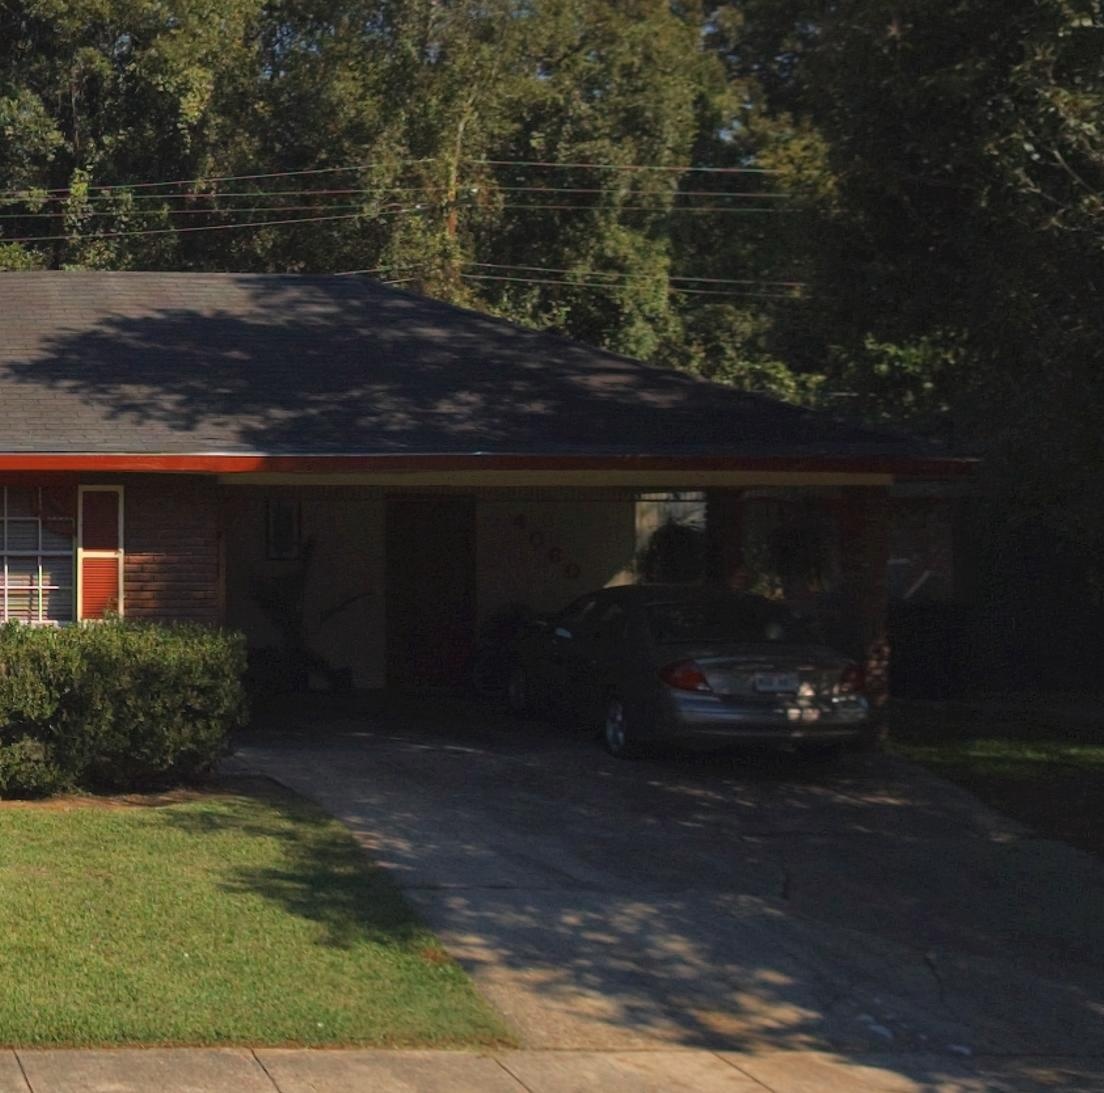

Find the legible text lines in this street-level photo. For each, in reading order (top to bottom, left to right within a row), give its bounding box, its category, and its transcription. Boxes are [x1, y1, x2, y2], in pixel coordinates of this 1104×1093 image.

[512, 513, 581, 581] StreetNumber: 4060